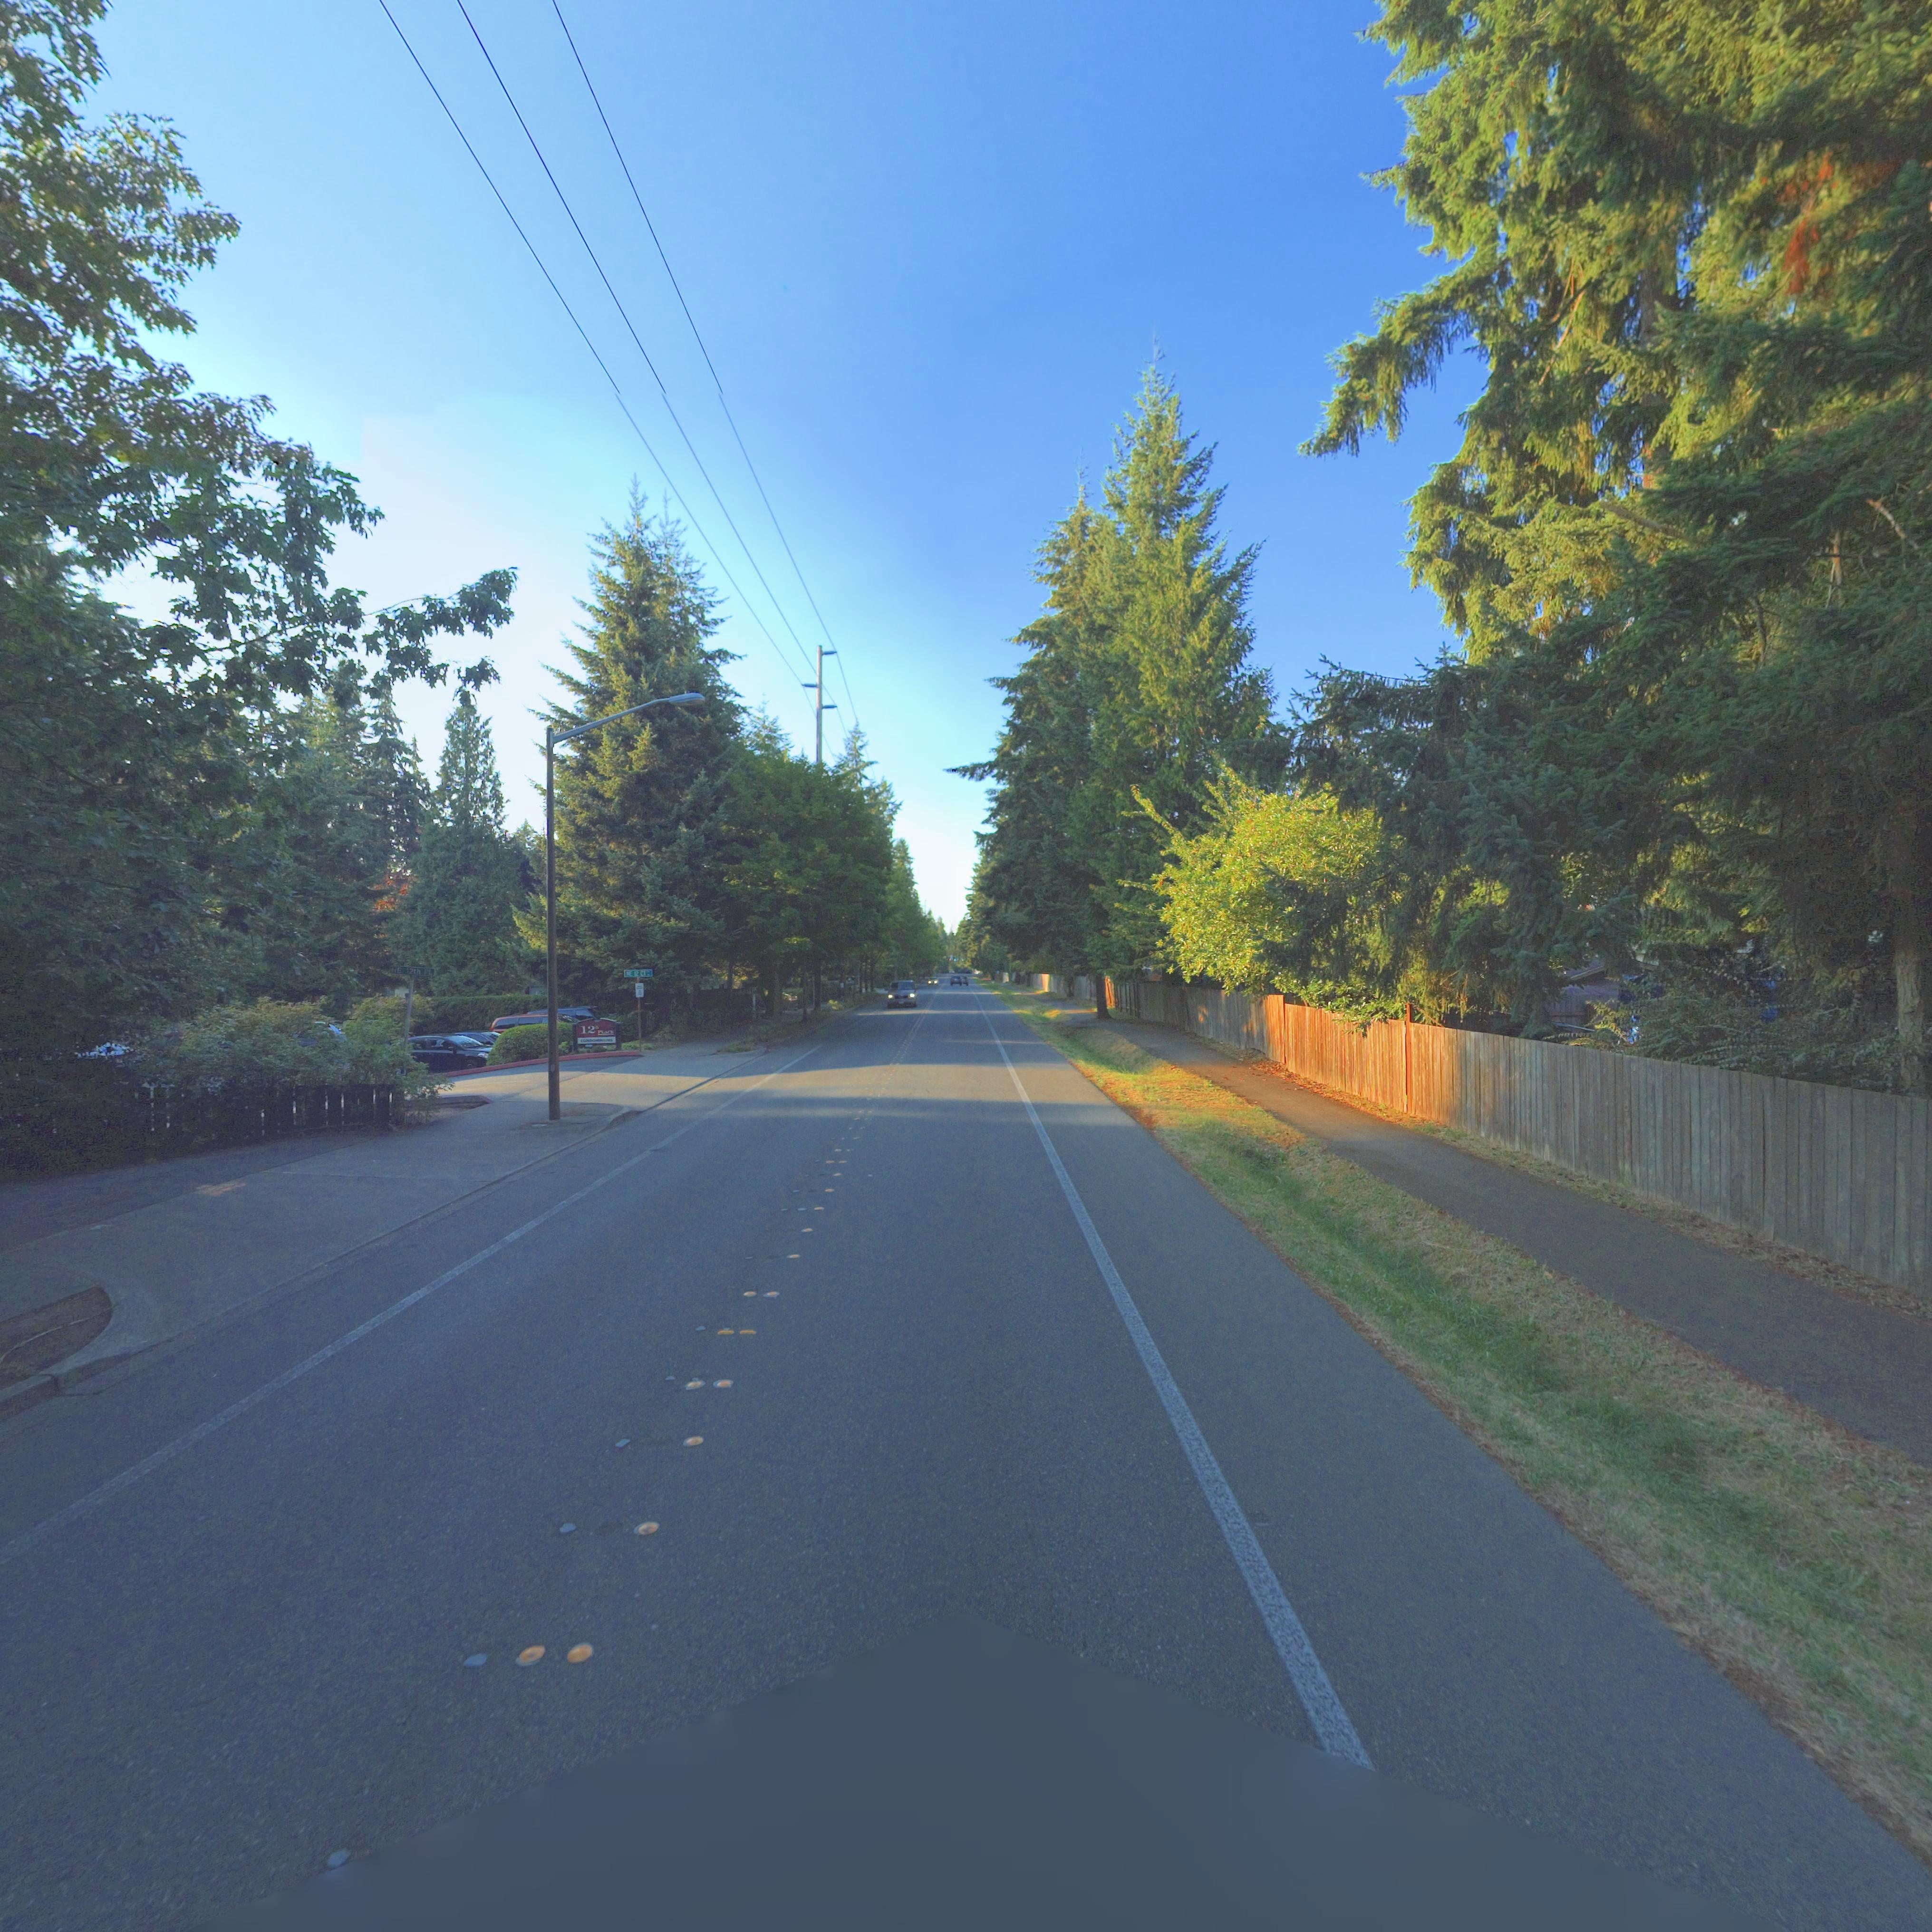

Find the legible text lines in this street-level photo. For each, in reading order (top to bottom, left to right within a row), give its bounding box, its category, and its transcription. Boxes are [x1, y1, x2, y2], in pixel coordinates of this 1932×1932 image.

[390, 966, 434, 976] StreetName: NE 12TH PL